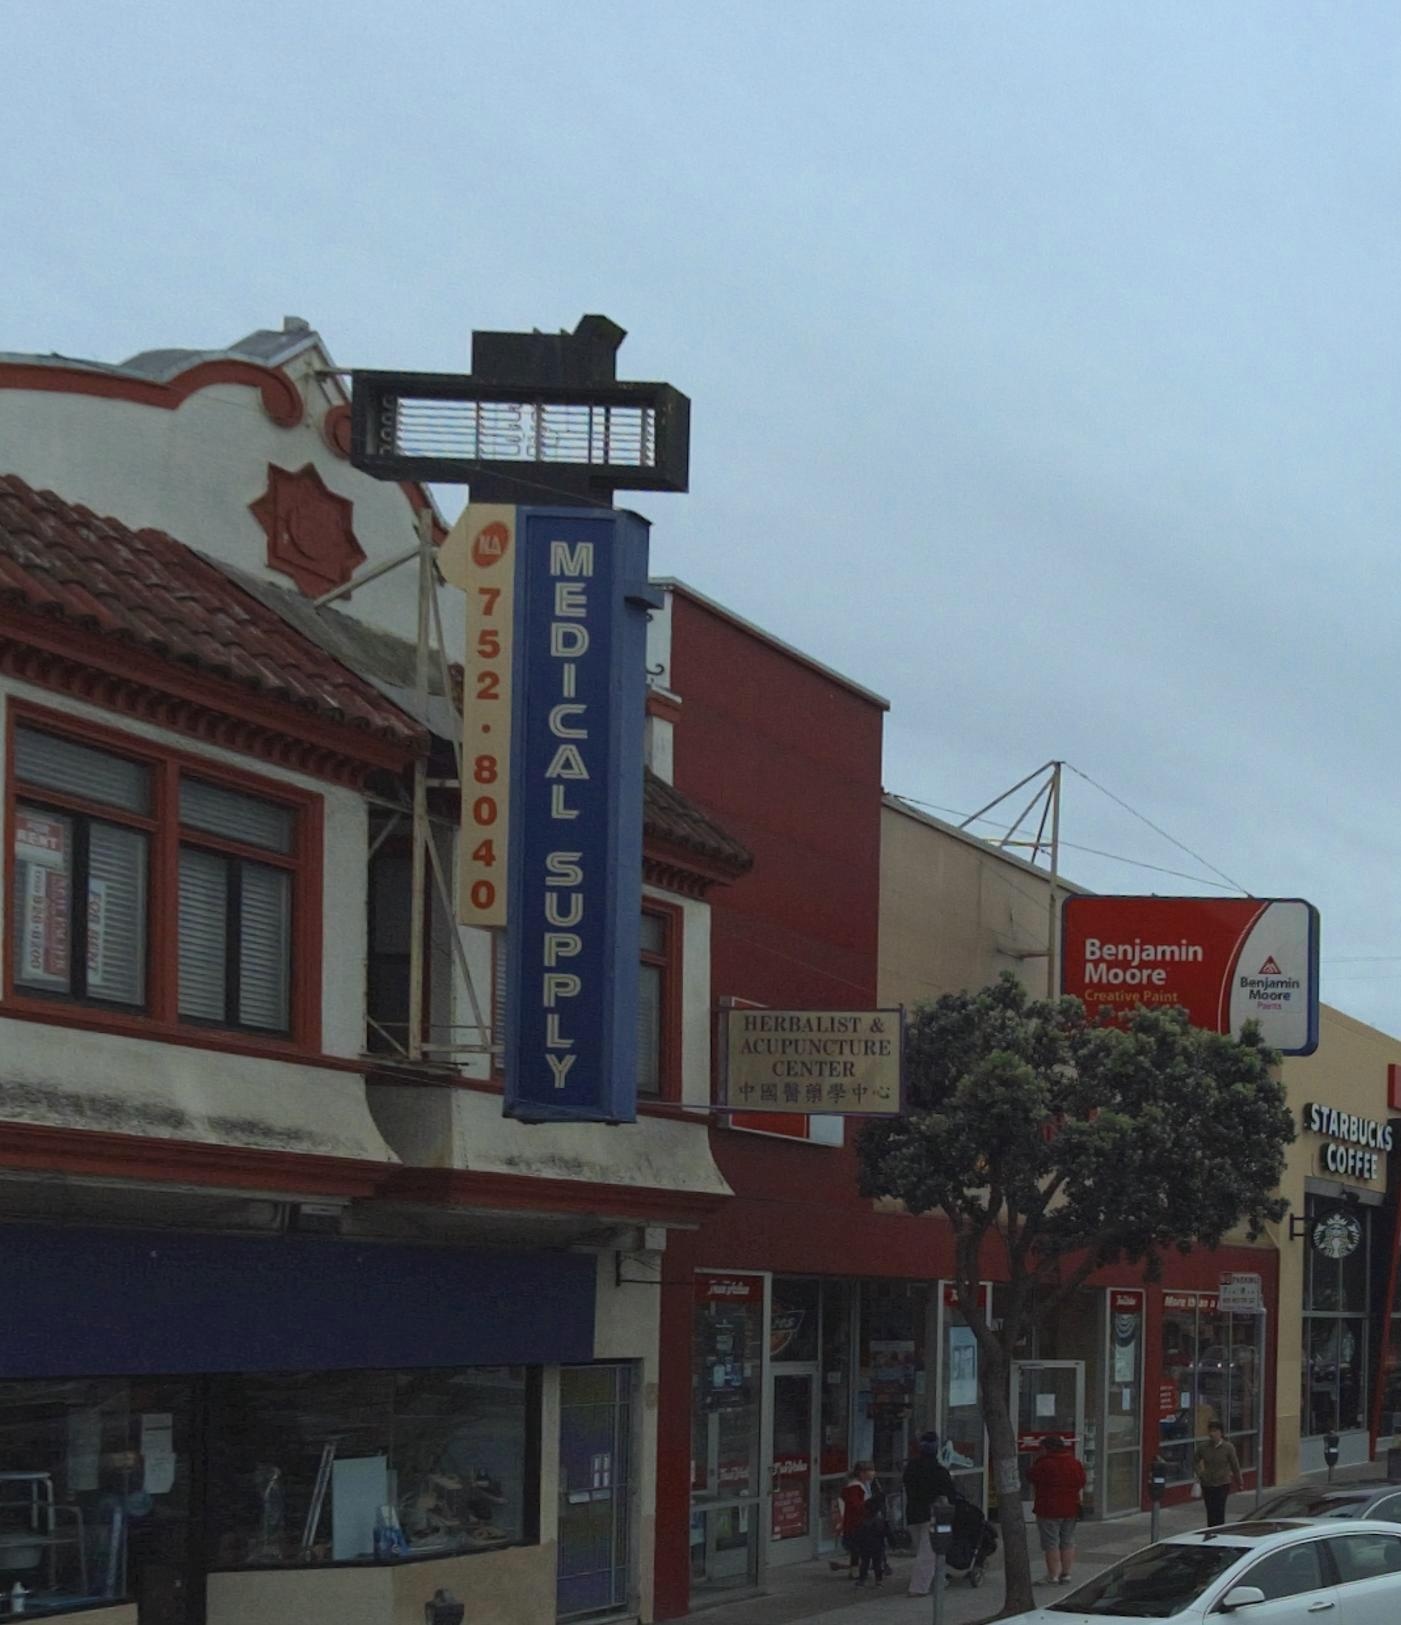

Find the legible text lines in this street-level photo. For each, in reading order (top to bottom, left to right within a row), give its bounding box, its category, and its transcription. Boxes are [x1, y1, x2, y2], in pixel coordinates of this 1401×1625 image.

[467, 583, 504, 915] None: 752 * 8040
[535, 535, 600, 1091] BusinessName: MEDICAL SUPPLY
[47, 835, 60, 851] None: T
[85, 887, 105, 928] None: FOR
[1082, 934, 1206, 969] BusinessName: Benjamin
[1081, 959, 1169, 988] BusinessName: Moore
[1081, 986, 1181, 1006] BusinessName: Creative Paint
[1255, 999, 1266, 1011] BusinessName: P
[1237, 974, 1303, 993] BusinessName: Benjamin
[1247, 987, 1293, 1003] BusinessName: Moore
[740, 1010, 865, 1036] BusinessName: HERBALIST
[735, 1036, 893, 1059] BusinessName: ACUPUNCTURE
[769, 1058, 858, 1080] BusinessName: CENTER
[1306, 1098, 1395, 1155] BusinessName: STARBUCKS
[1324, 1140, 1380, 1183] BusinessName: COFFEE
[775, 1313, 799, 1332] None: es